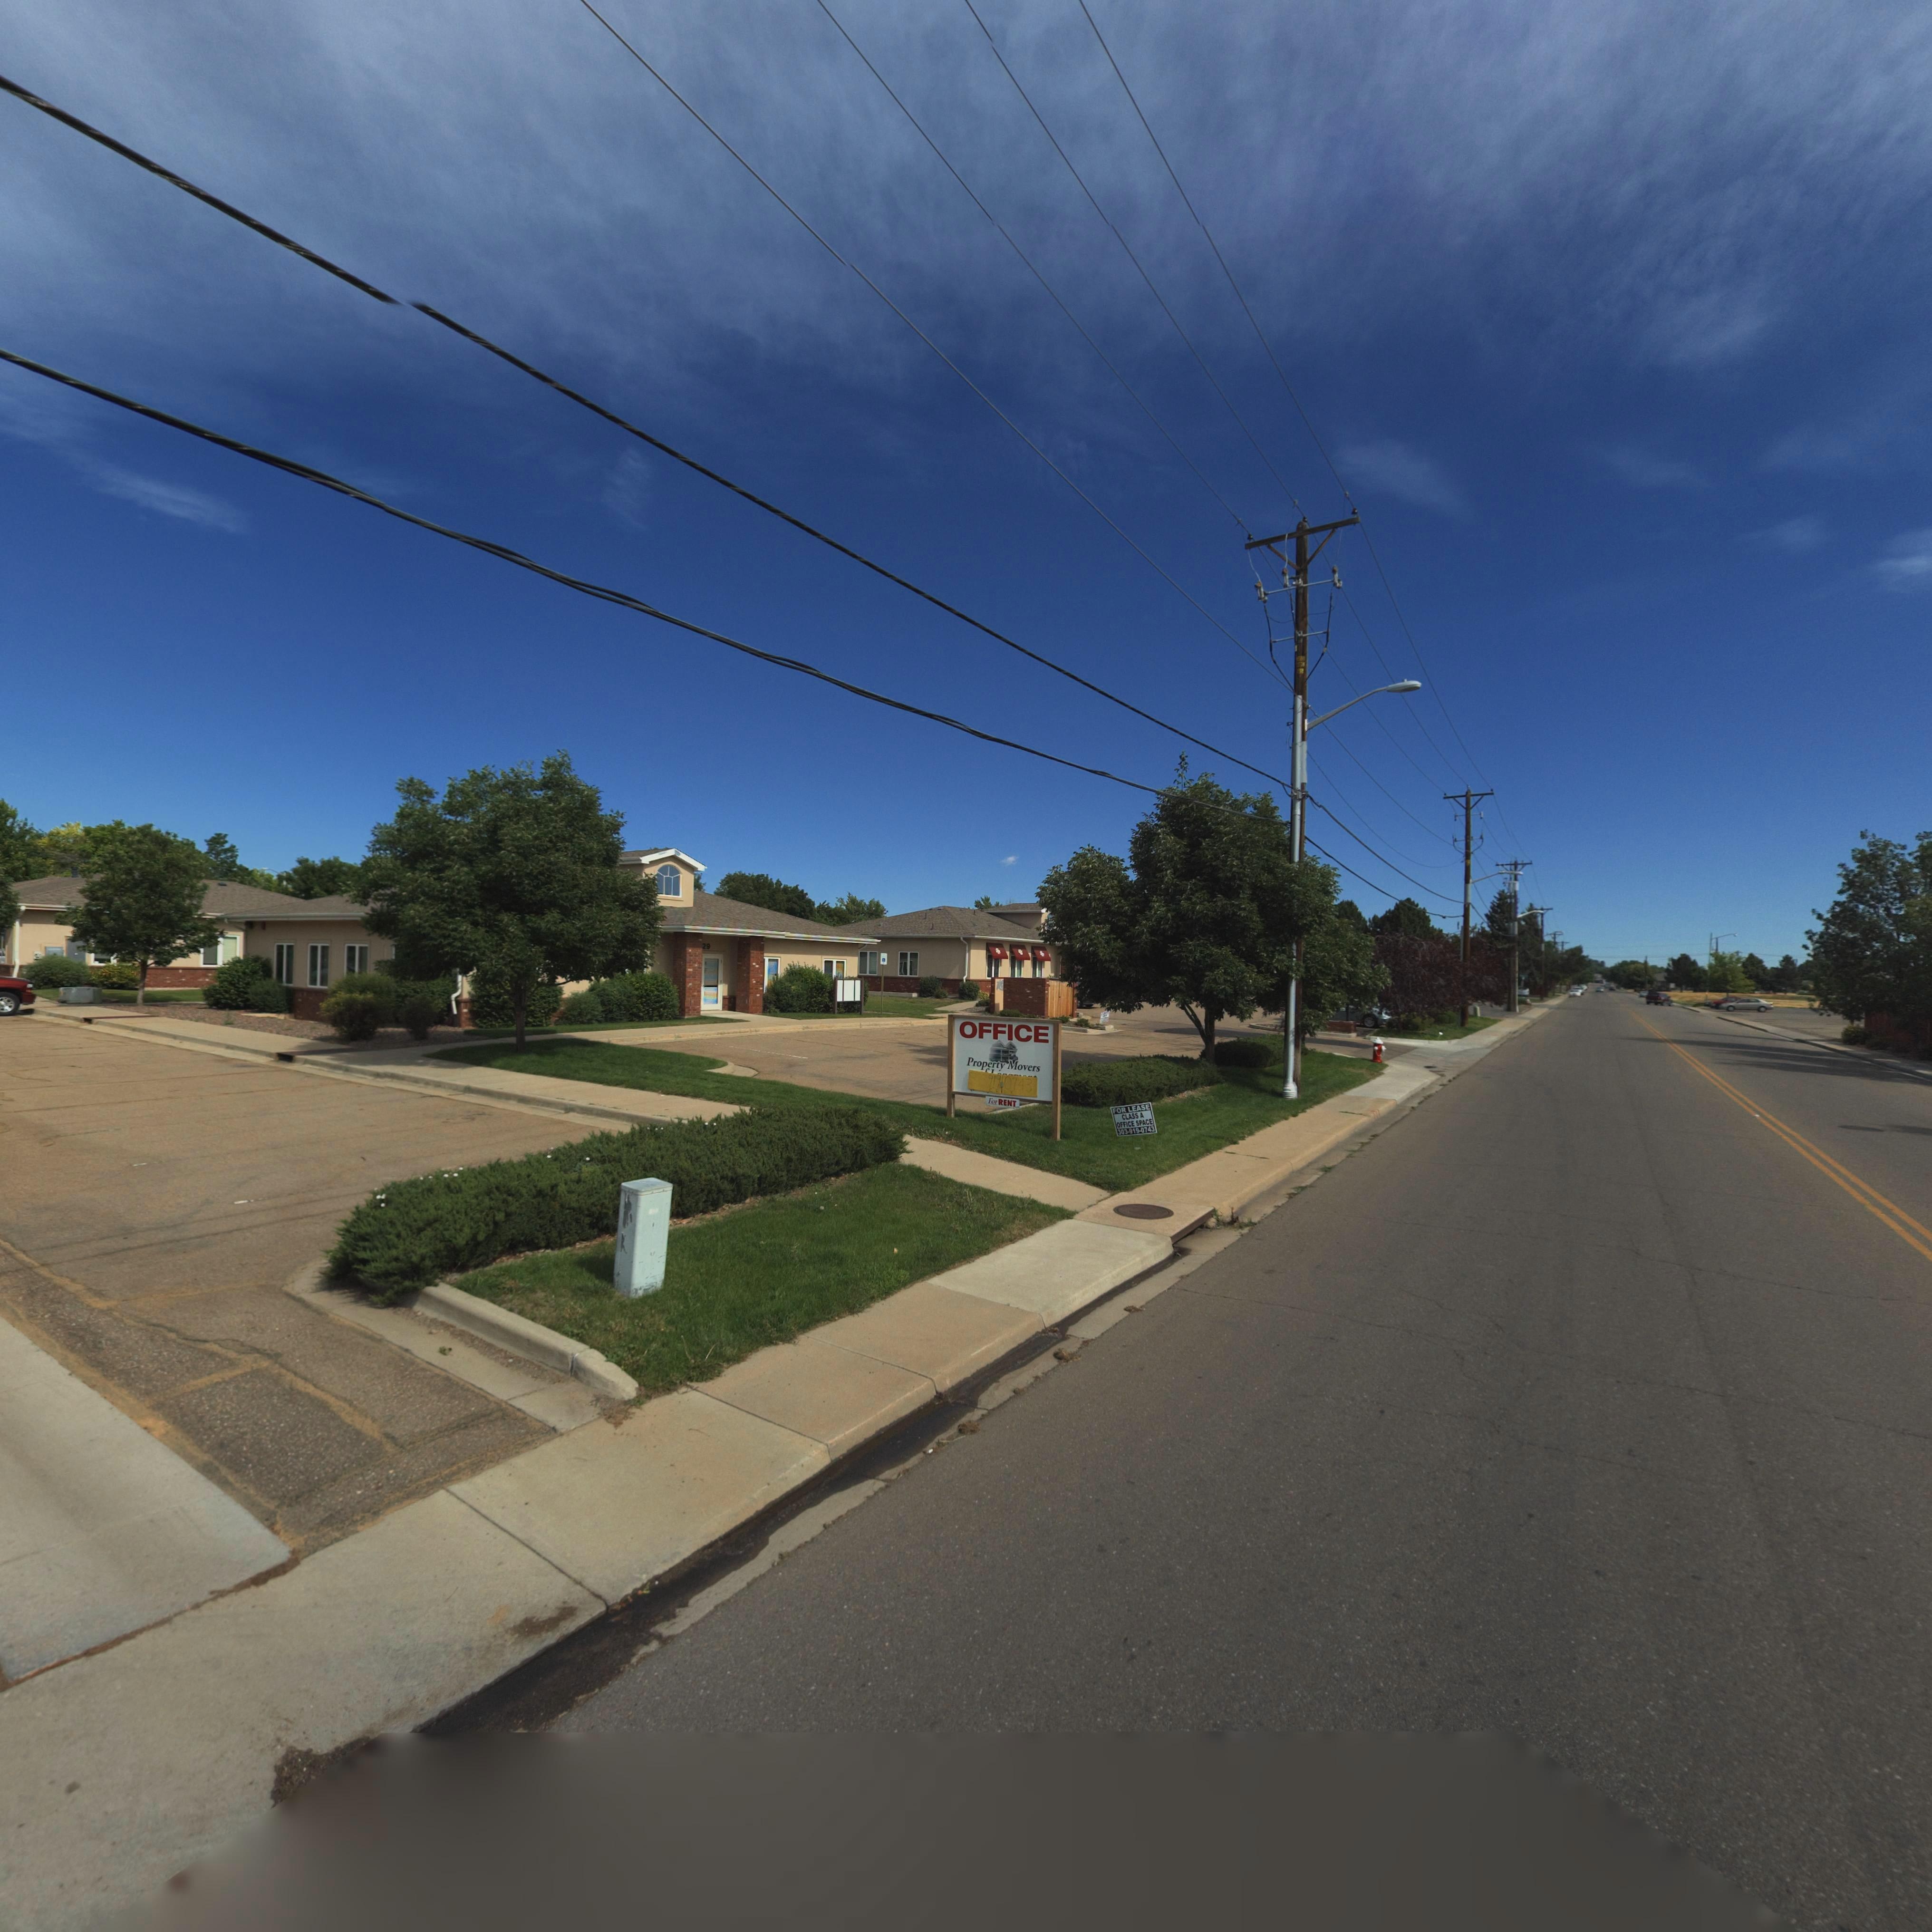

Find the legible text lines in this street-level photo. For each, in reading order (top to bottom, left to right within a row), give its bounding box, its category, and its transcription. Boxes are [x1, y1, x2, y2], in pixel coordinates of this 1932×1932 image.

[702, 943, 710, 949] StreetNumber: 29